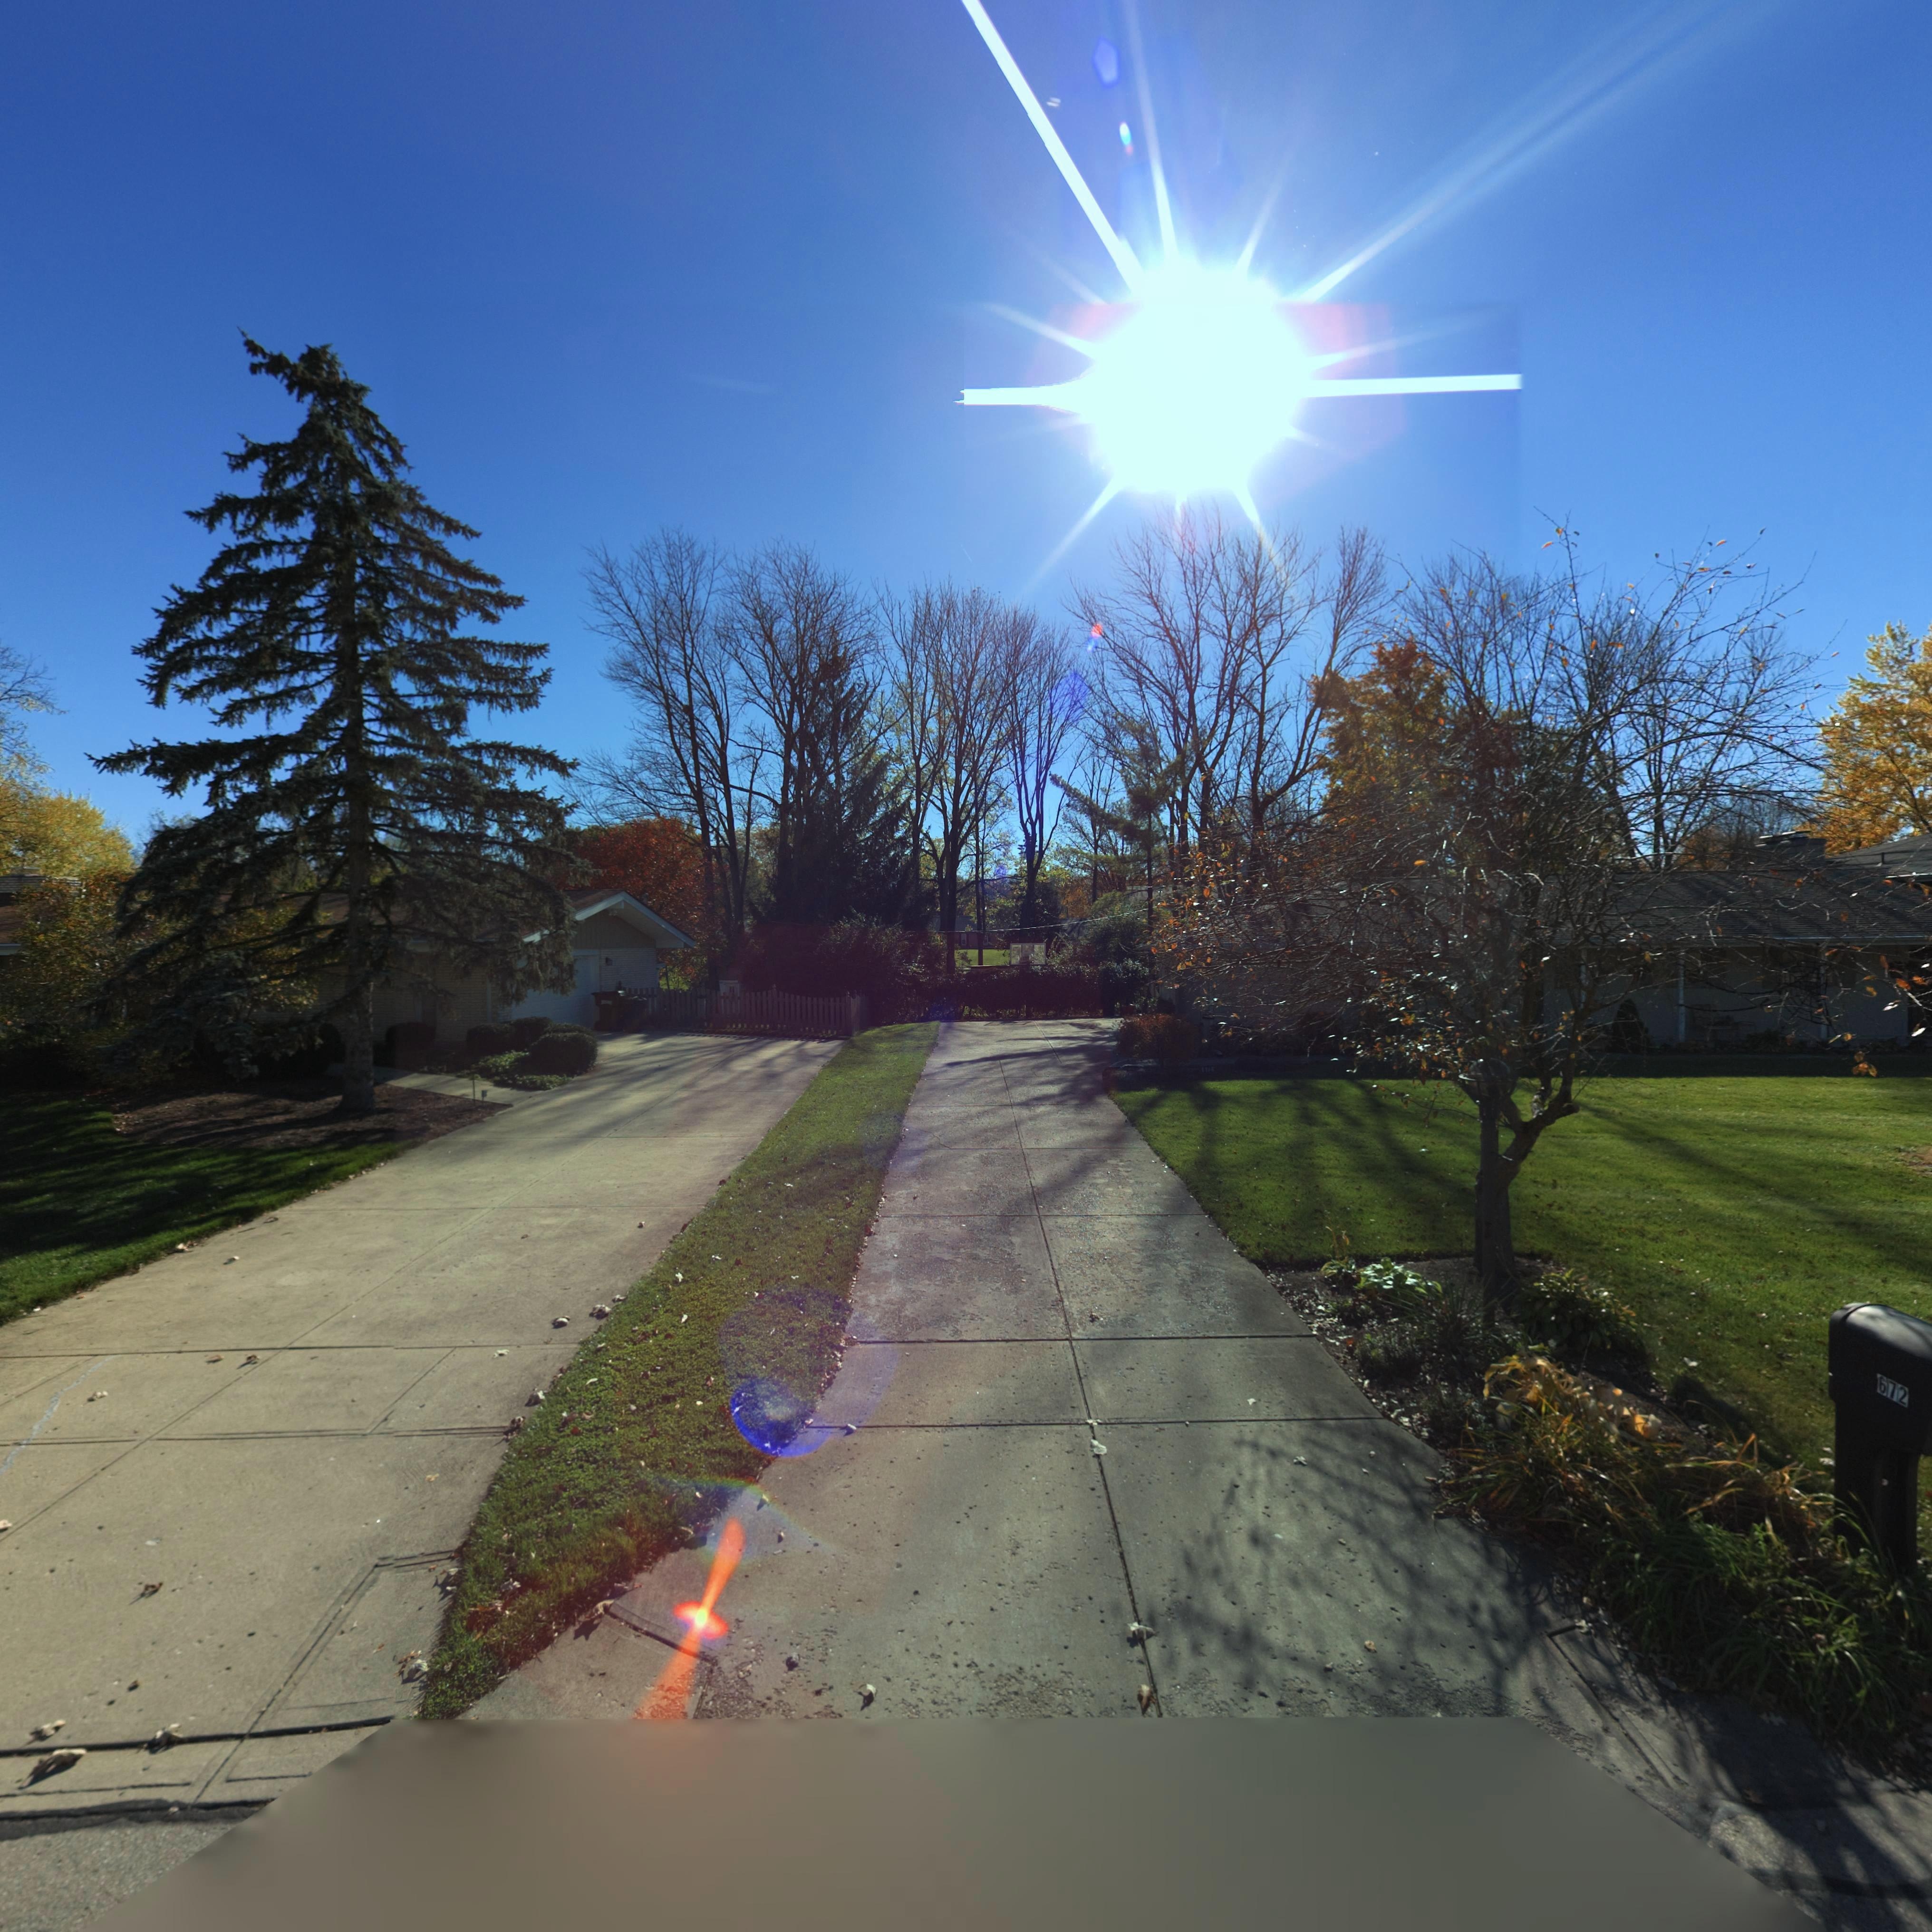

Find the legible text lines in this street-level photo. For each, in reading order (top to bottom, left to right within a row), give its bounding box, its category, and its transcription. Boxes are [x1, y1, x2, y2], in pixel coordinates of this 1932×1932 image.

[1878, 1373, 1908, 1407] StreetNumber: 672